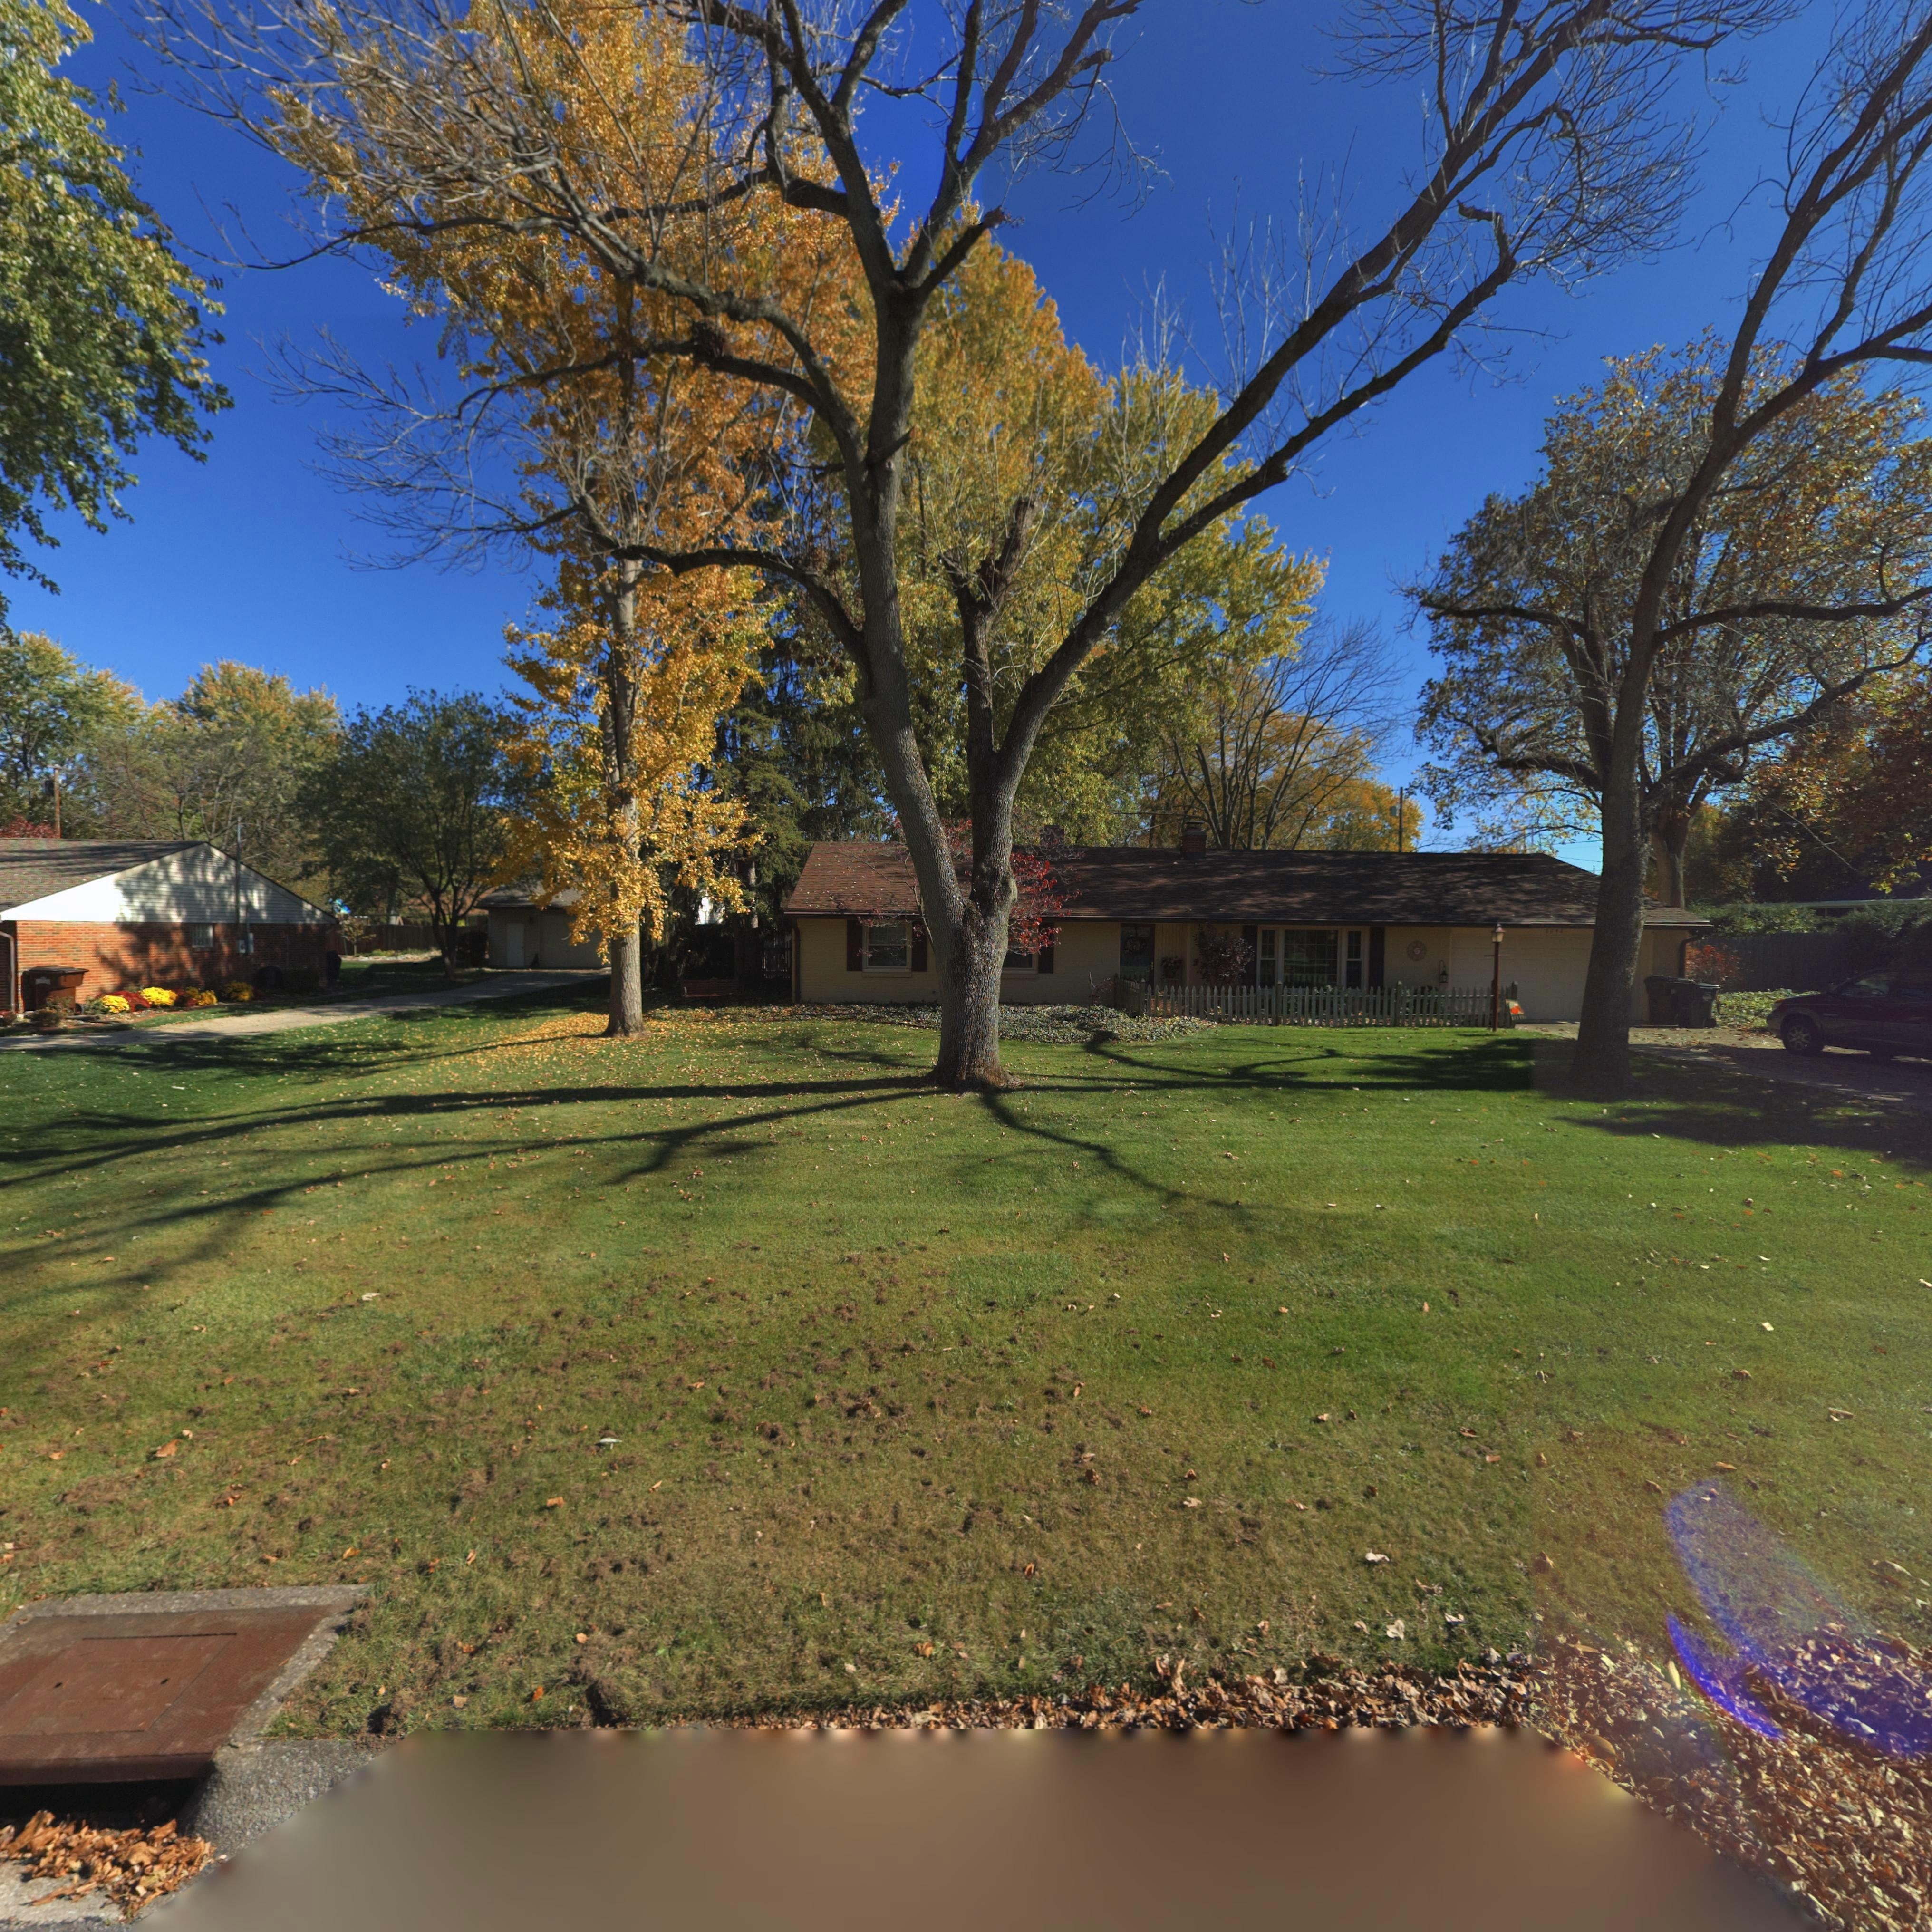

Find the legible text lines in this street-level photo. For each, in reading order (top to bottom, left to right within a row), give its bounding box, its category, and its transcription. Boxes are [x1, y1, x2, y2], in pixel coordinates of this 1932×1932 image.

[1545, 928, 1564, 934] StreetNumber: *648